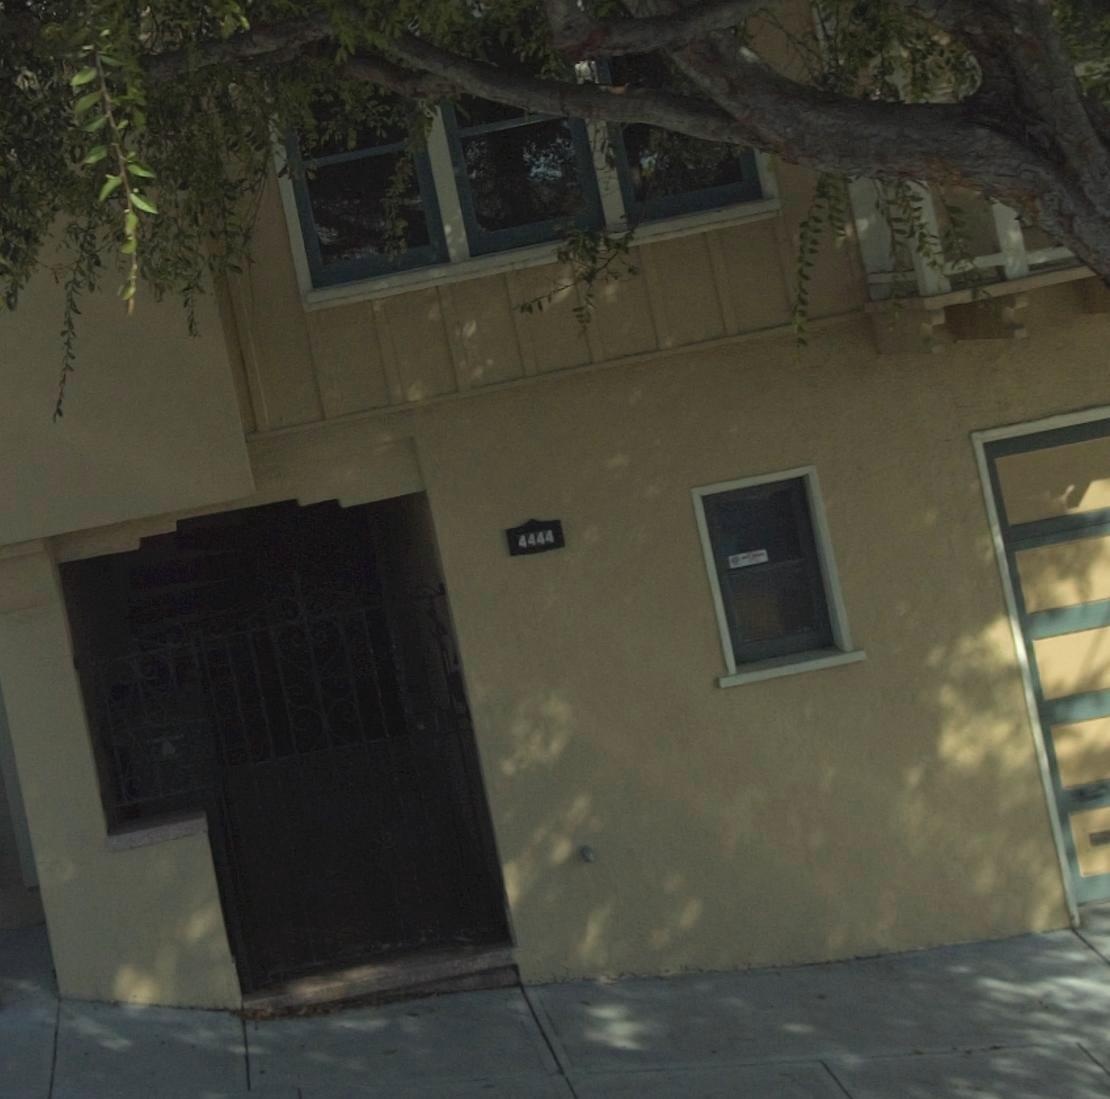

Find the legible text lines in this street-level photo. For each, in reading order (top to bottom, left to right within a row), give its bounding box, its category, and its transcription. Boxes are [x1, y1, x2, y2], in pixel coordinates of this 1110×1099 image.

[514, 527, 556, 552] StreetNumber: 4444